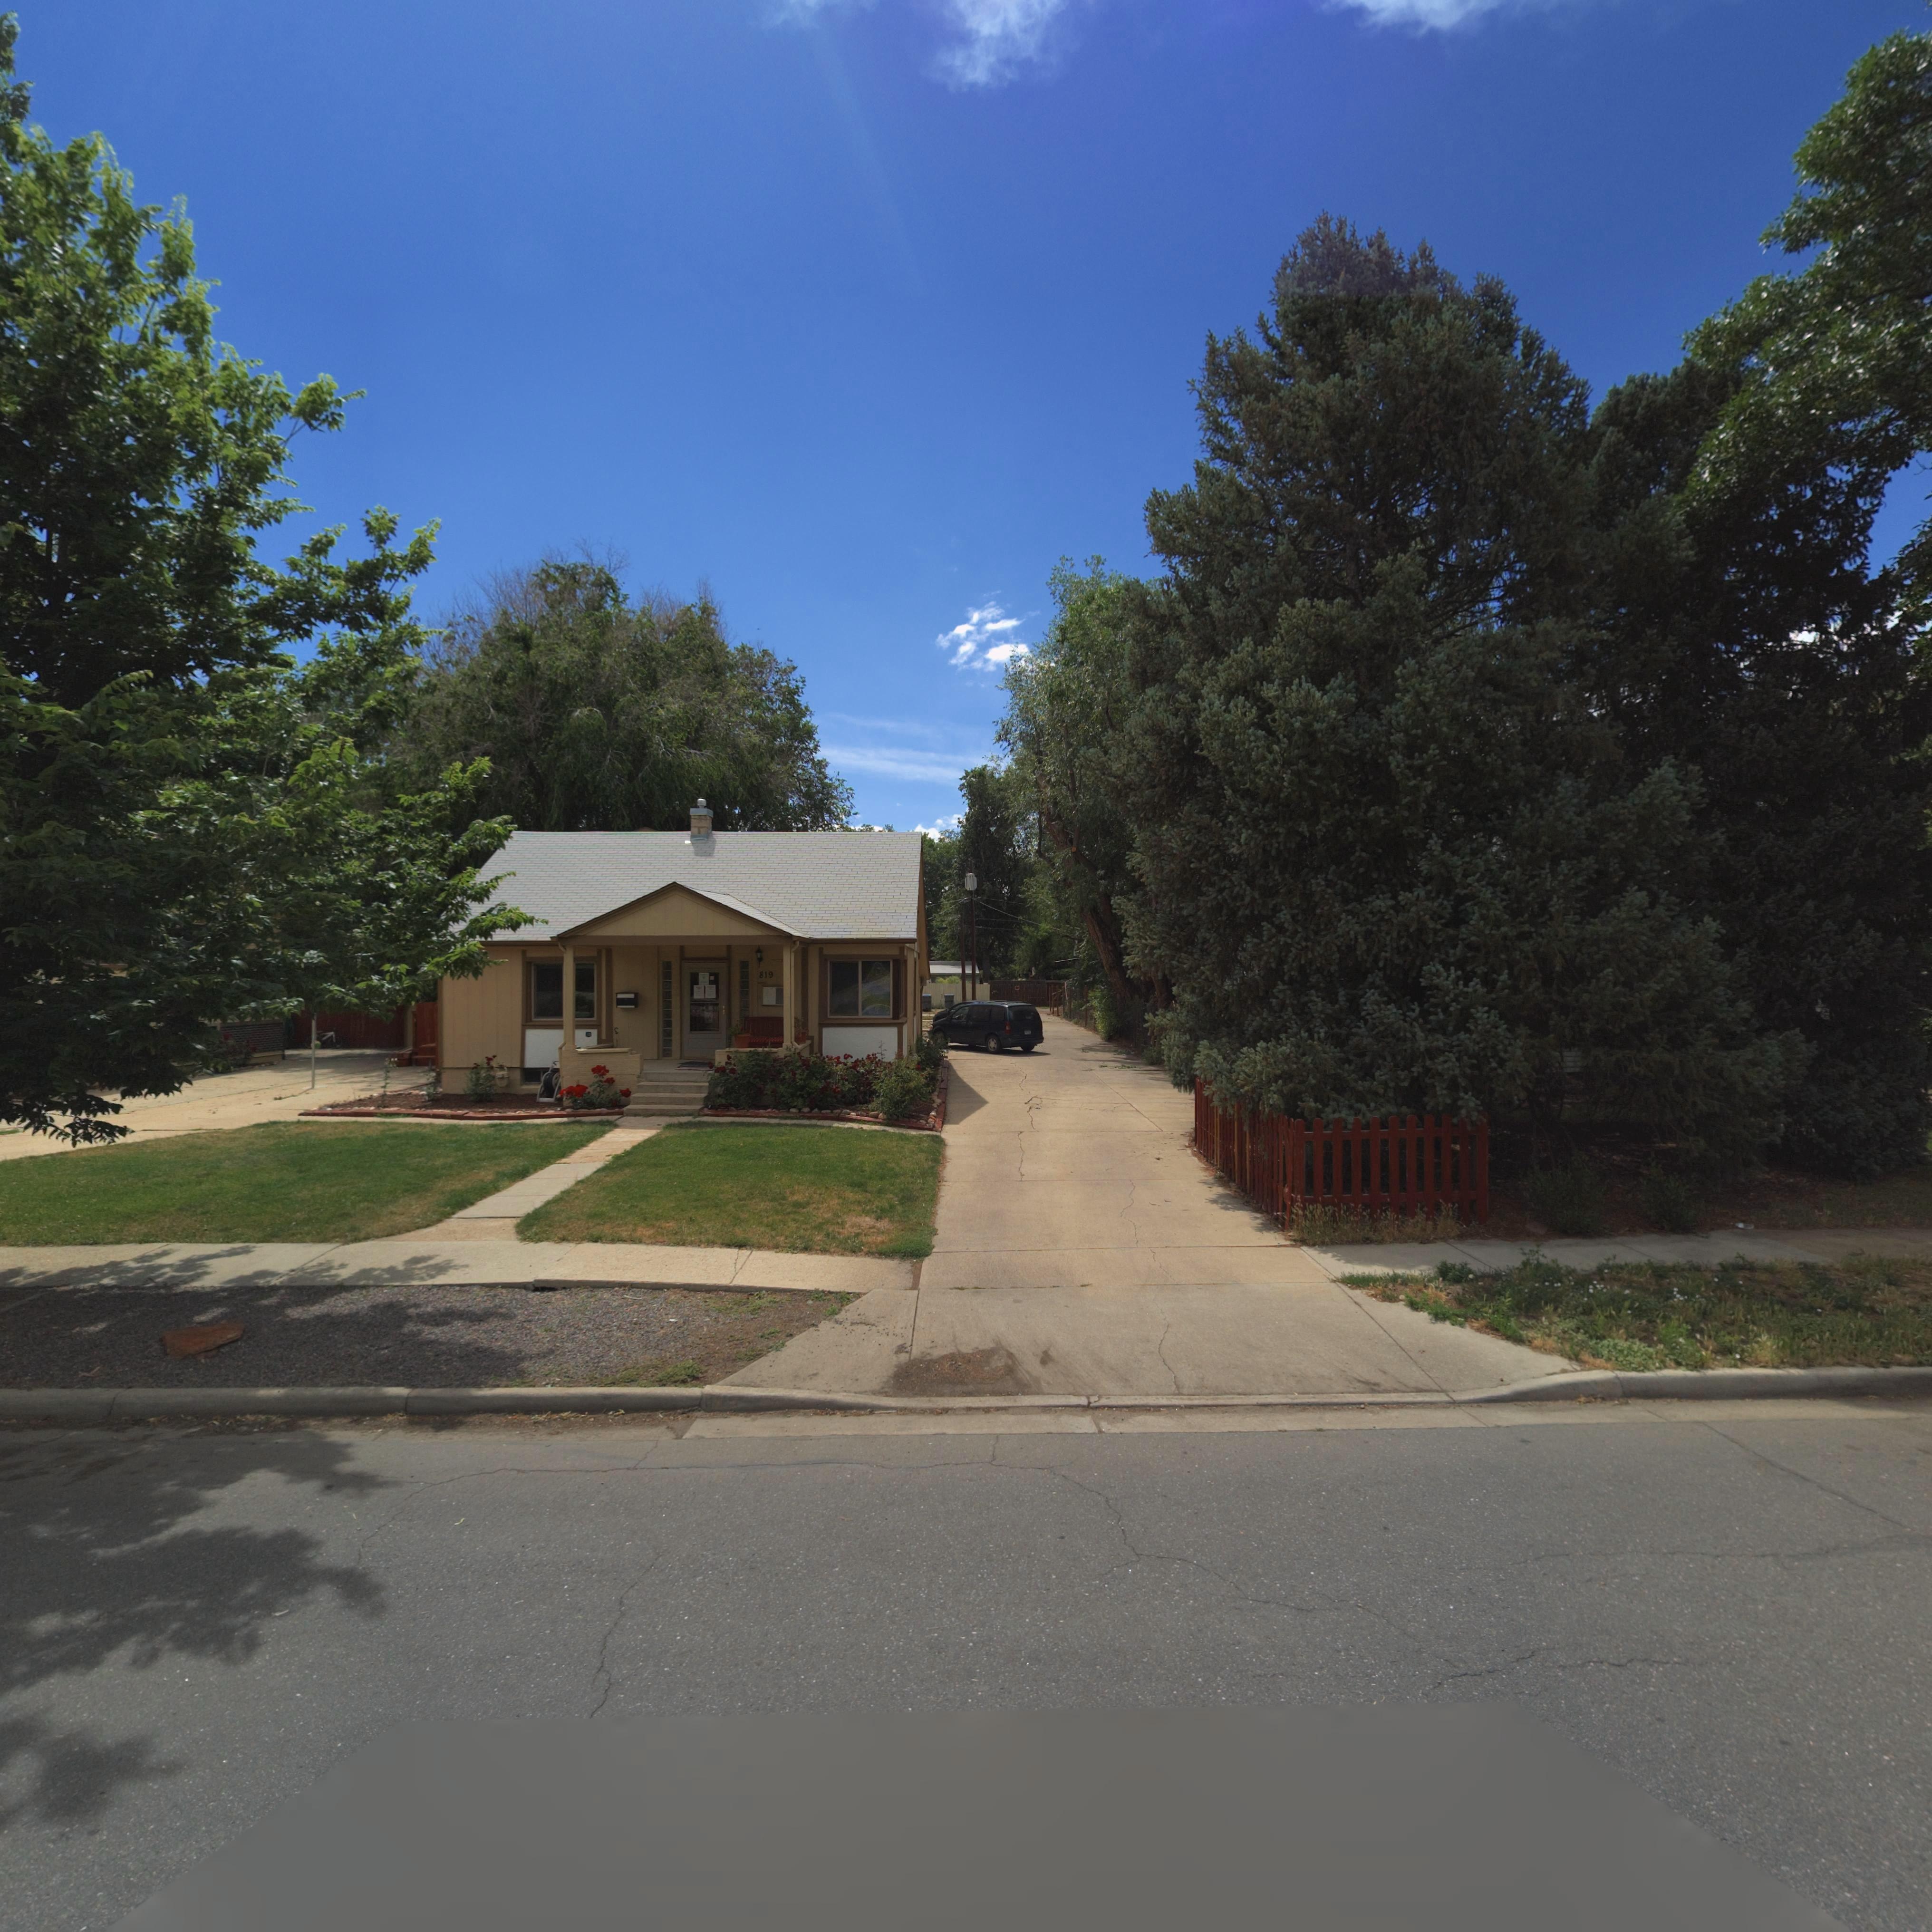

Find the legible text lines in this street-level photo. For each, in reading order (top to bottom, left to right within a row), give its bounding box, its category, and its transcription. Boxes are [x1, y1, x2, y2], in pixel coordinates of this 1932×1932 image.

[759, 971, 773, 978] StreetNumber: 819